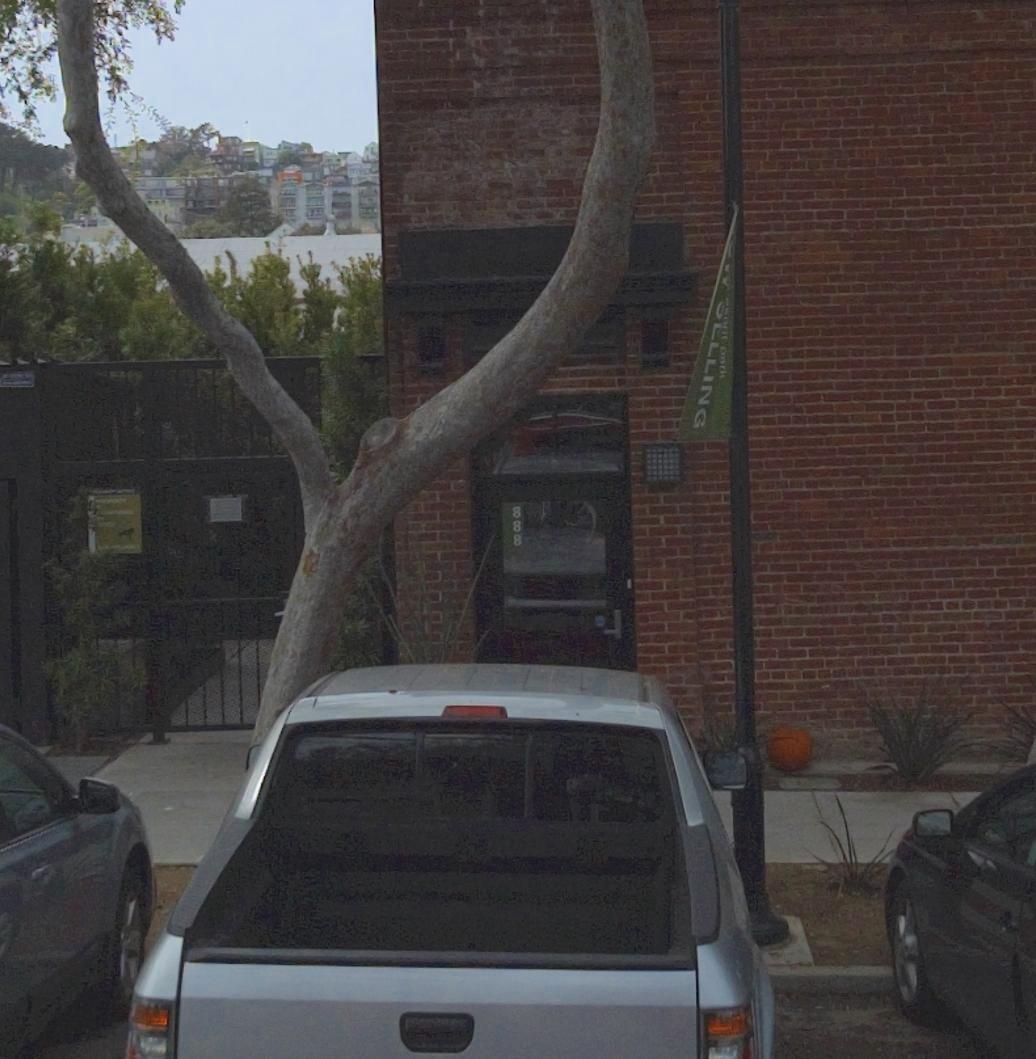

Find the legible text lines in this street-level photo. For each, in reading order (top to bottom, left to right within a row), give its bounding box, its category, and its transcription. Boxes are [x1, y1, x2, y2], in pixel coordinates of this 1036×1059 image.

[689, 301, 730, 429] None: **LLING
[511, 504, 524, 548] StreetNumber: 888